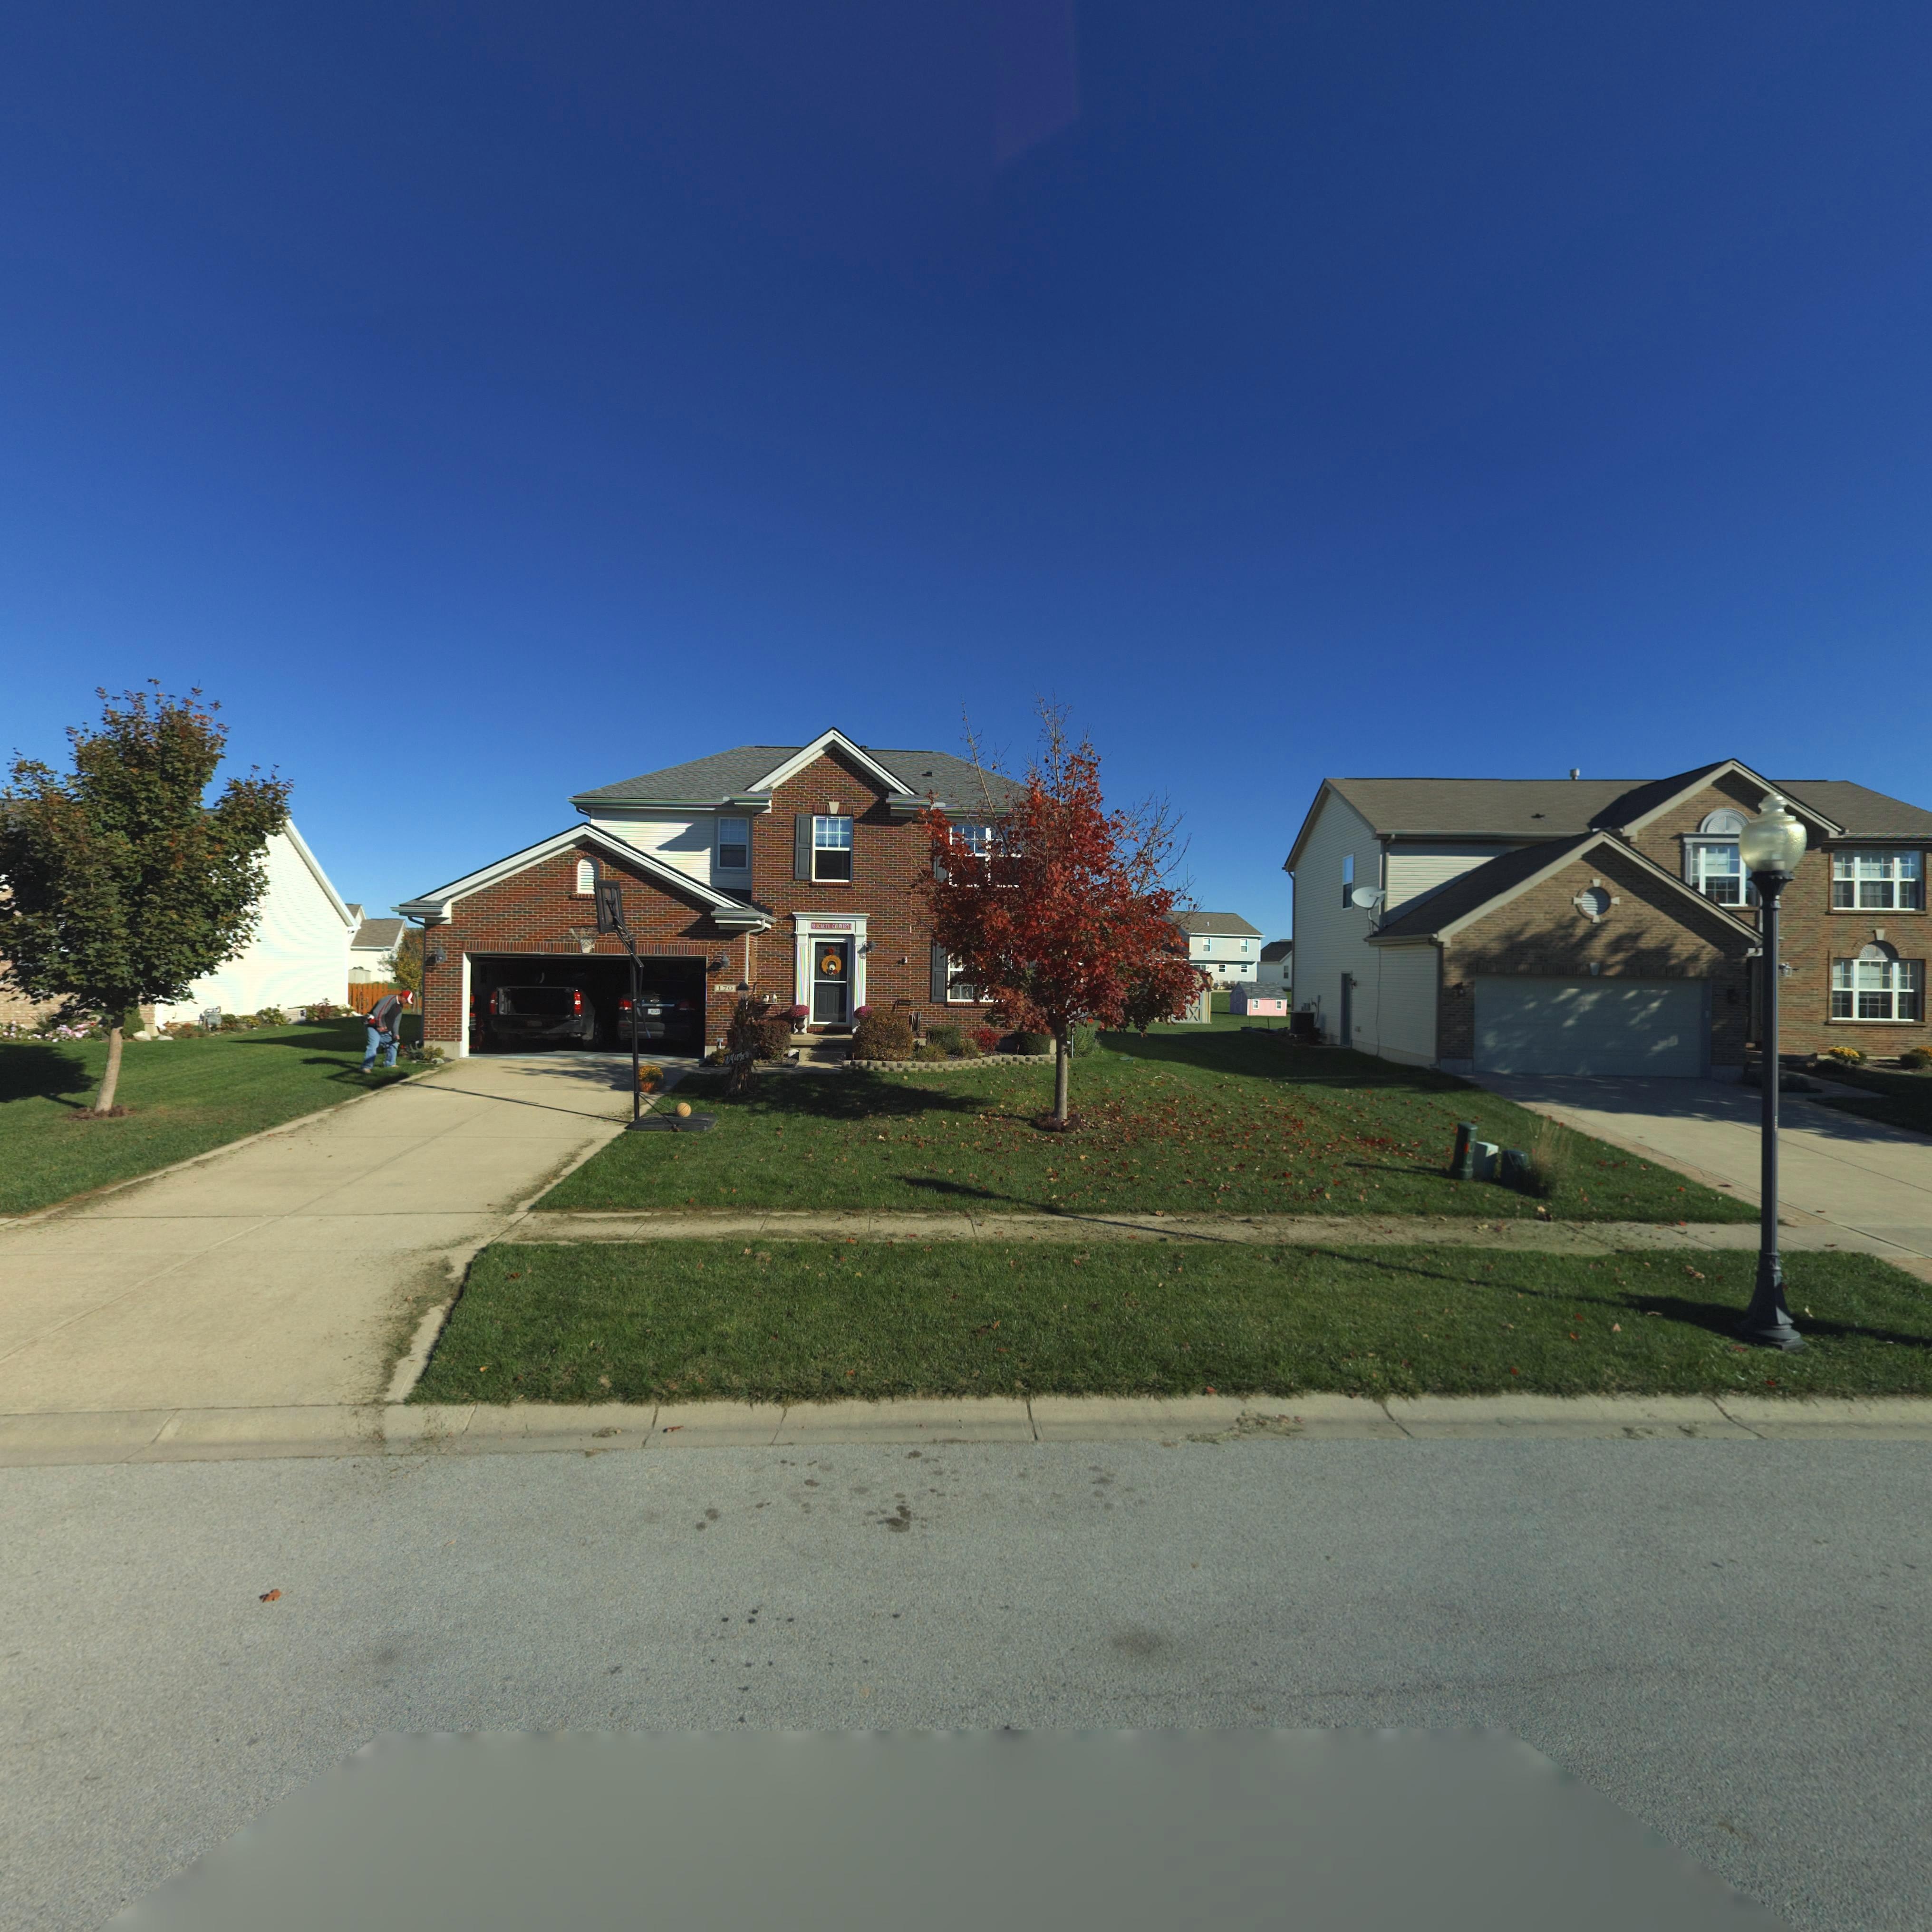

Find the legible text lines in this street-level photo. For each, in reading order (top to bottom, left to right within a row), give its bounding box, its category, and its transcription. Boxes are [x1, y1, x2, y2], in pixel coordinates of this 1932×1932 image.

[717, 985, 734, 991] StreetNumber: 170